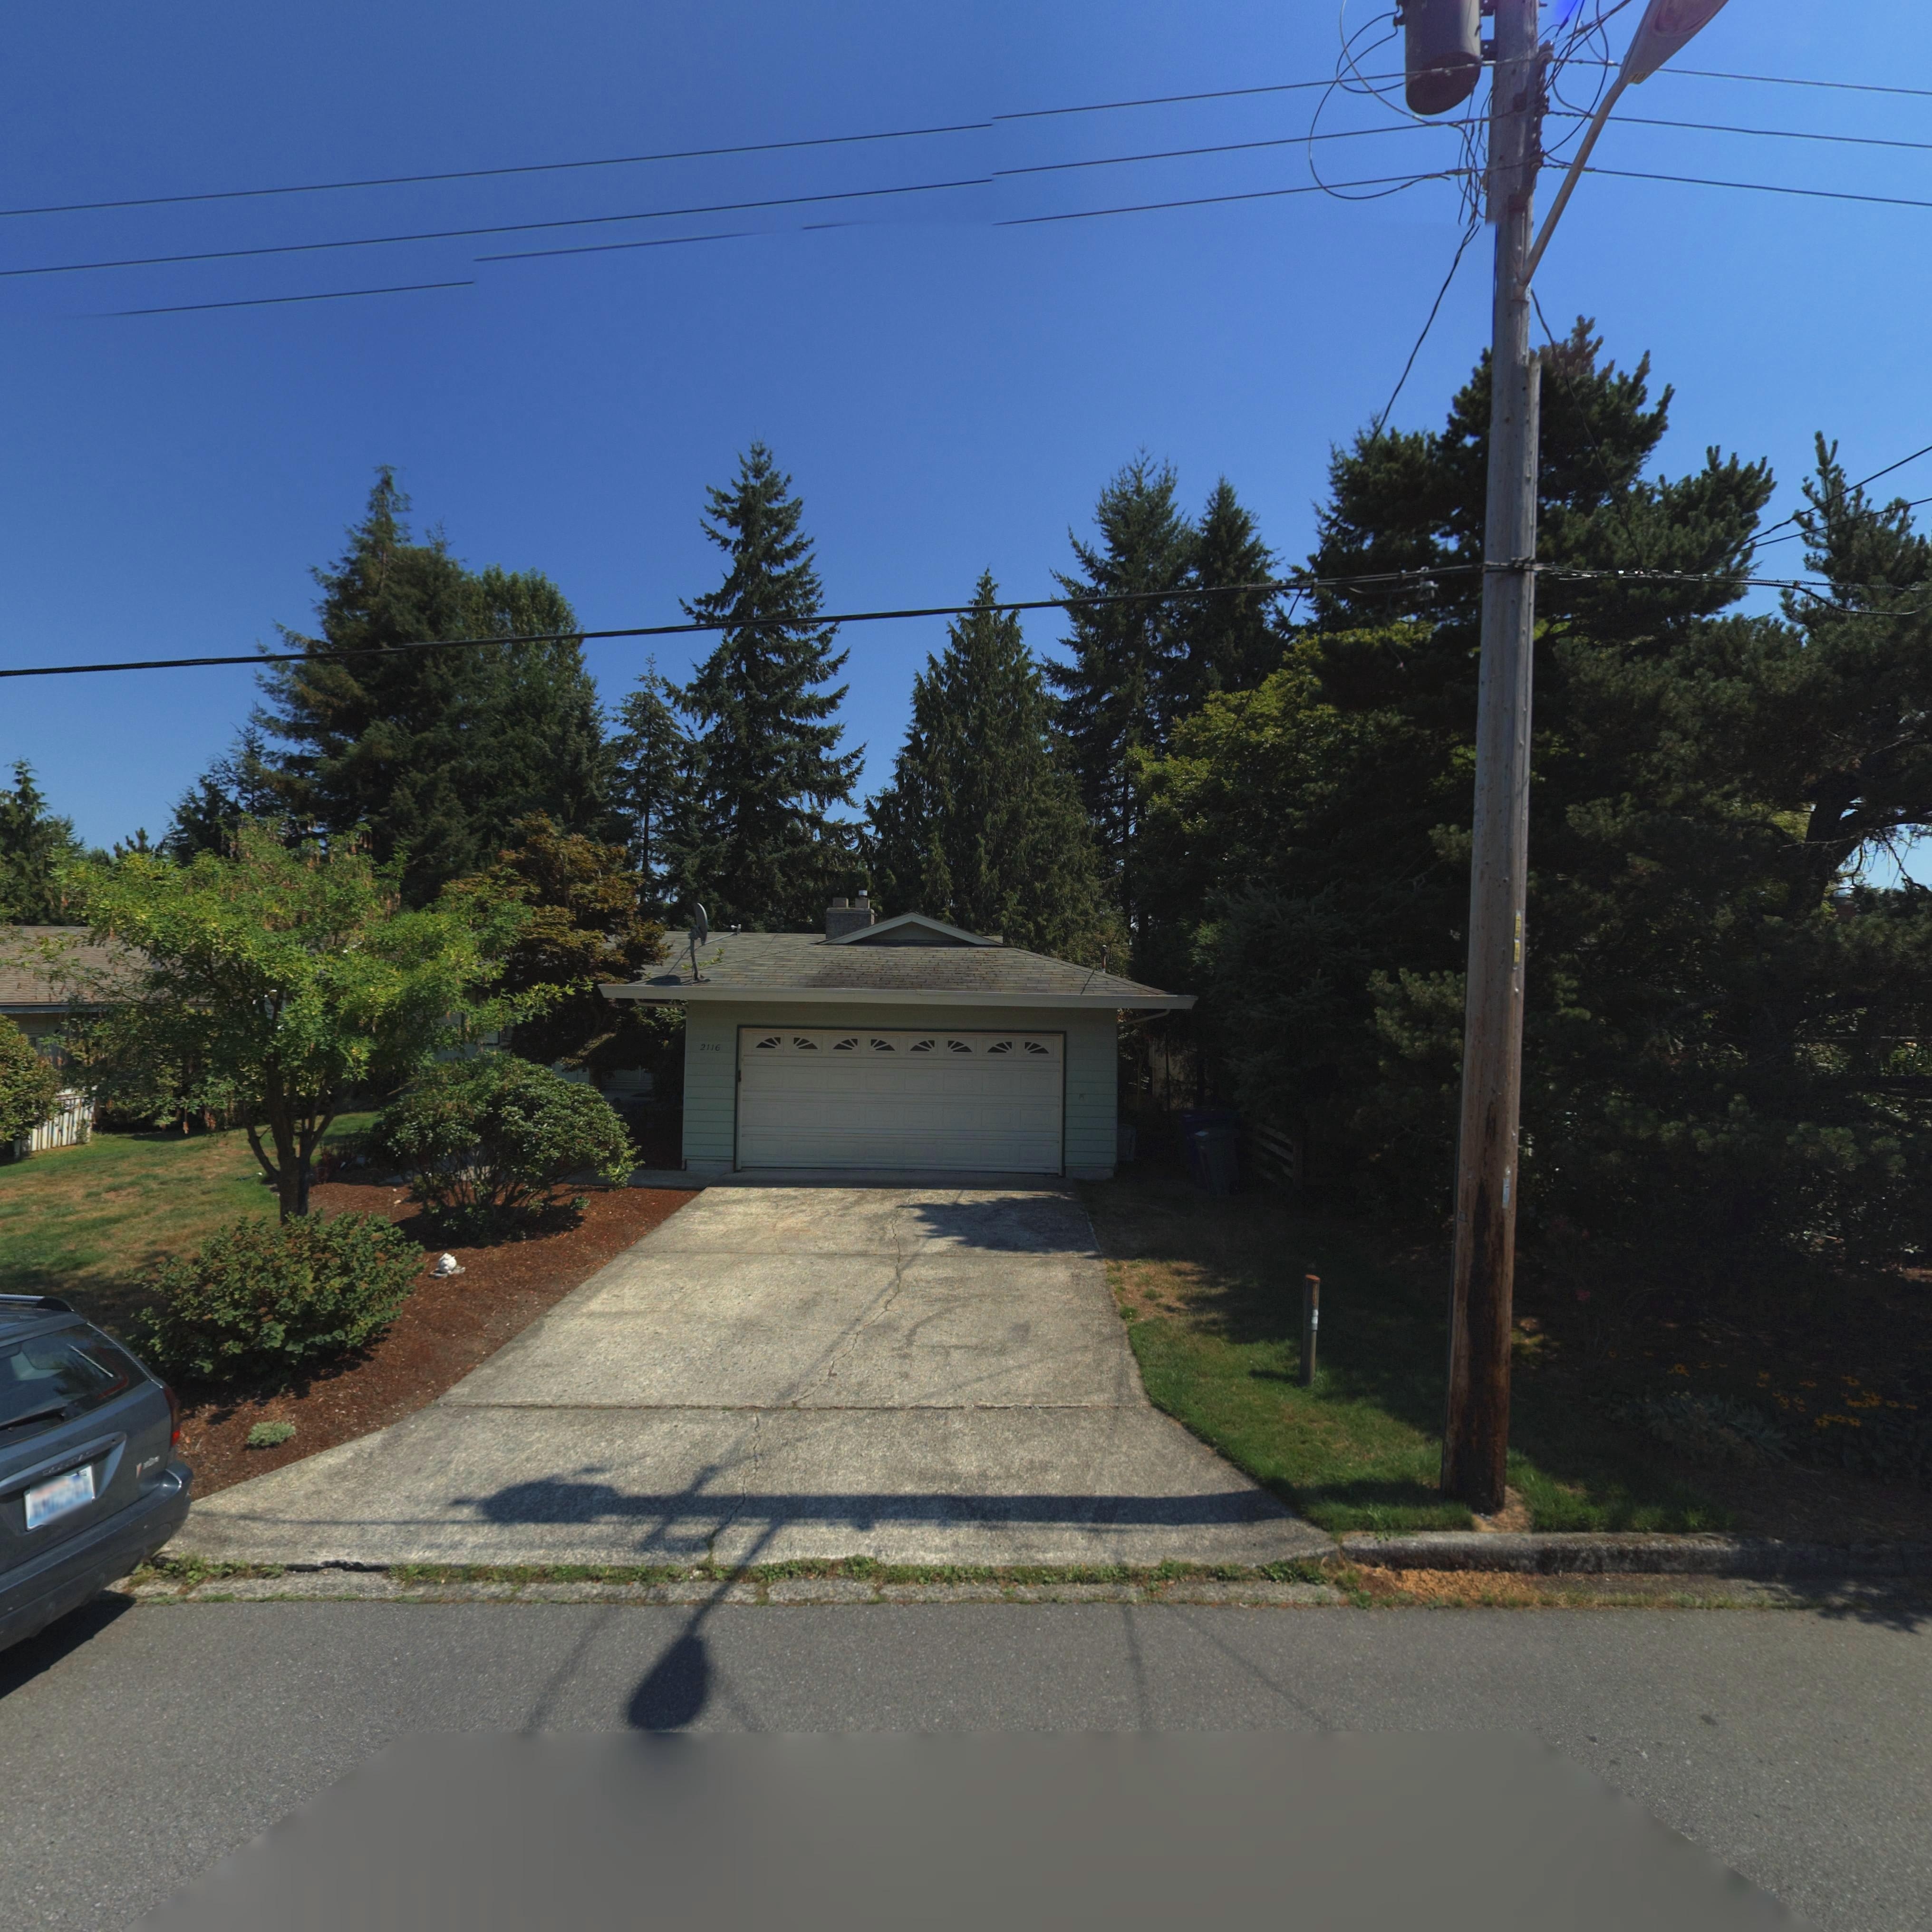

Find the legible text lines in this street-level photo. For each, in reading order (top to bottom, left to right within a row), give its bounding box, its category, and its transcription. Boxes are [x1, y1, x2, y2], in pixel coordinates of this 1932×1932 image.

[696, 1042, 723, 1053] StreetNumber: 2116